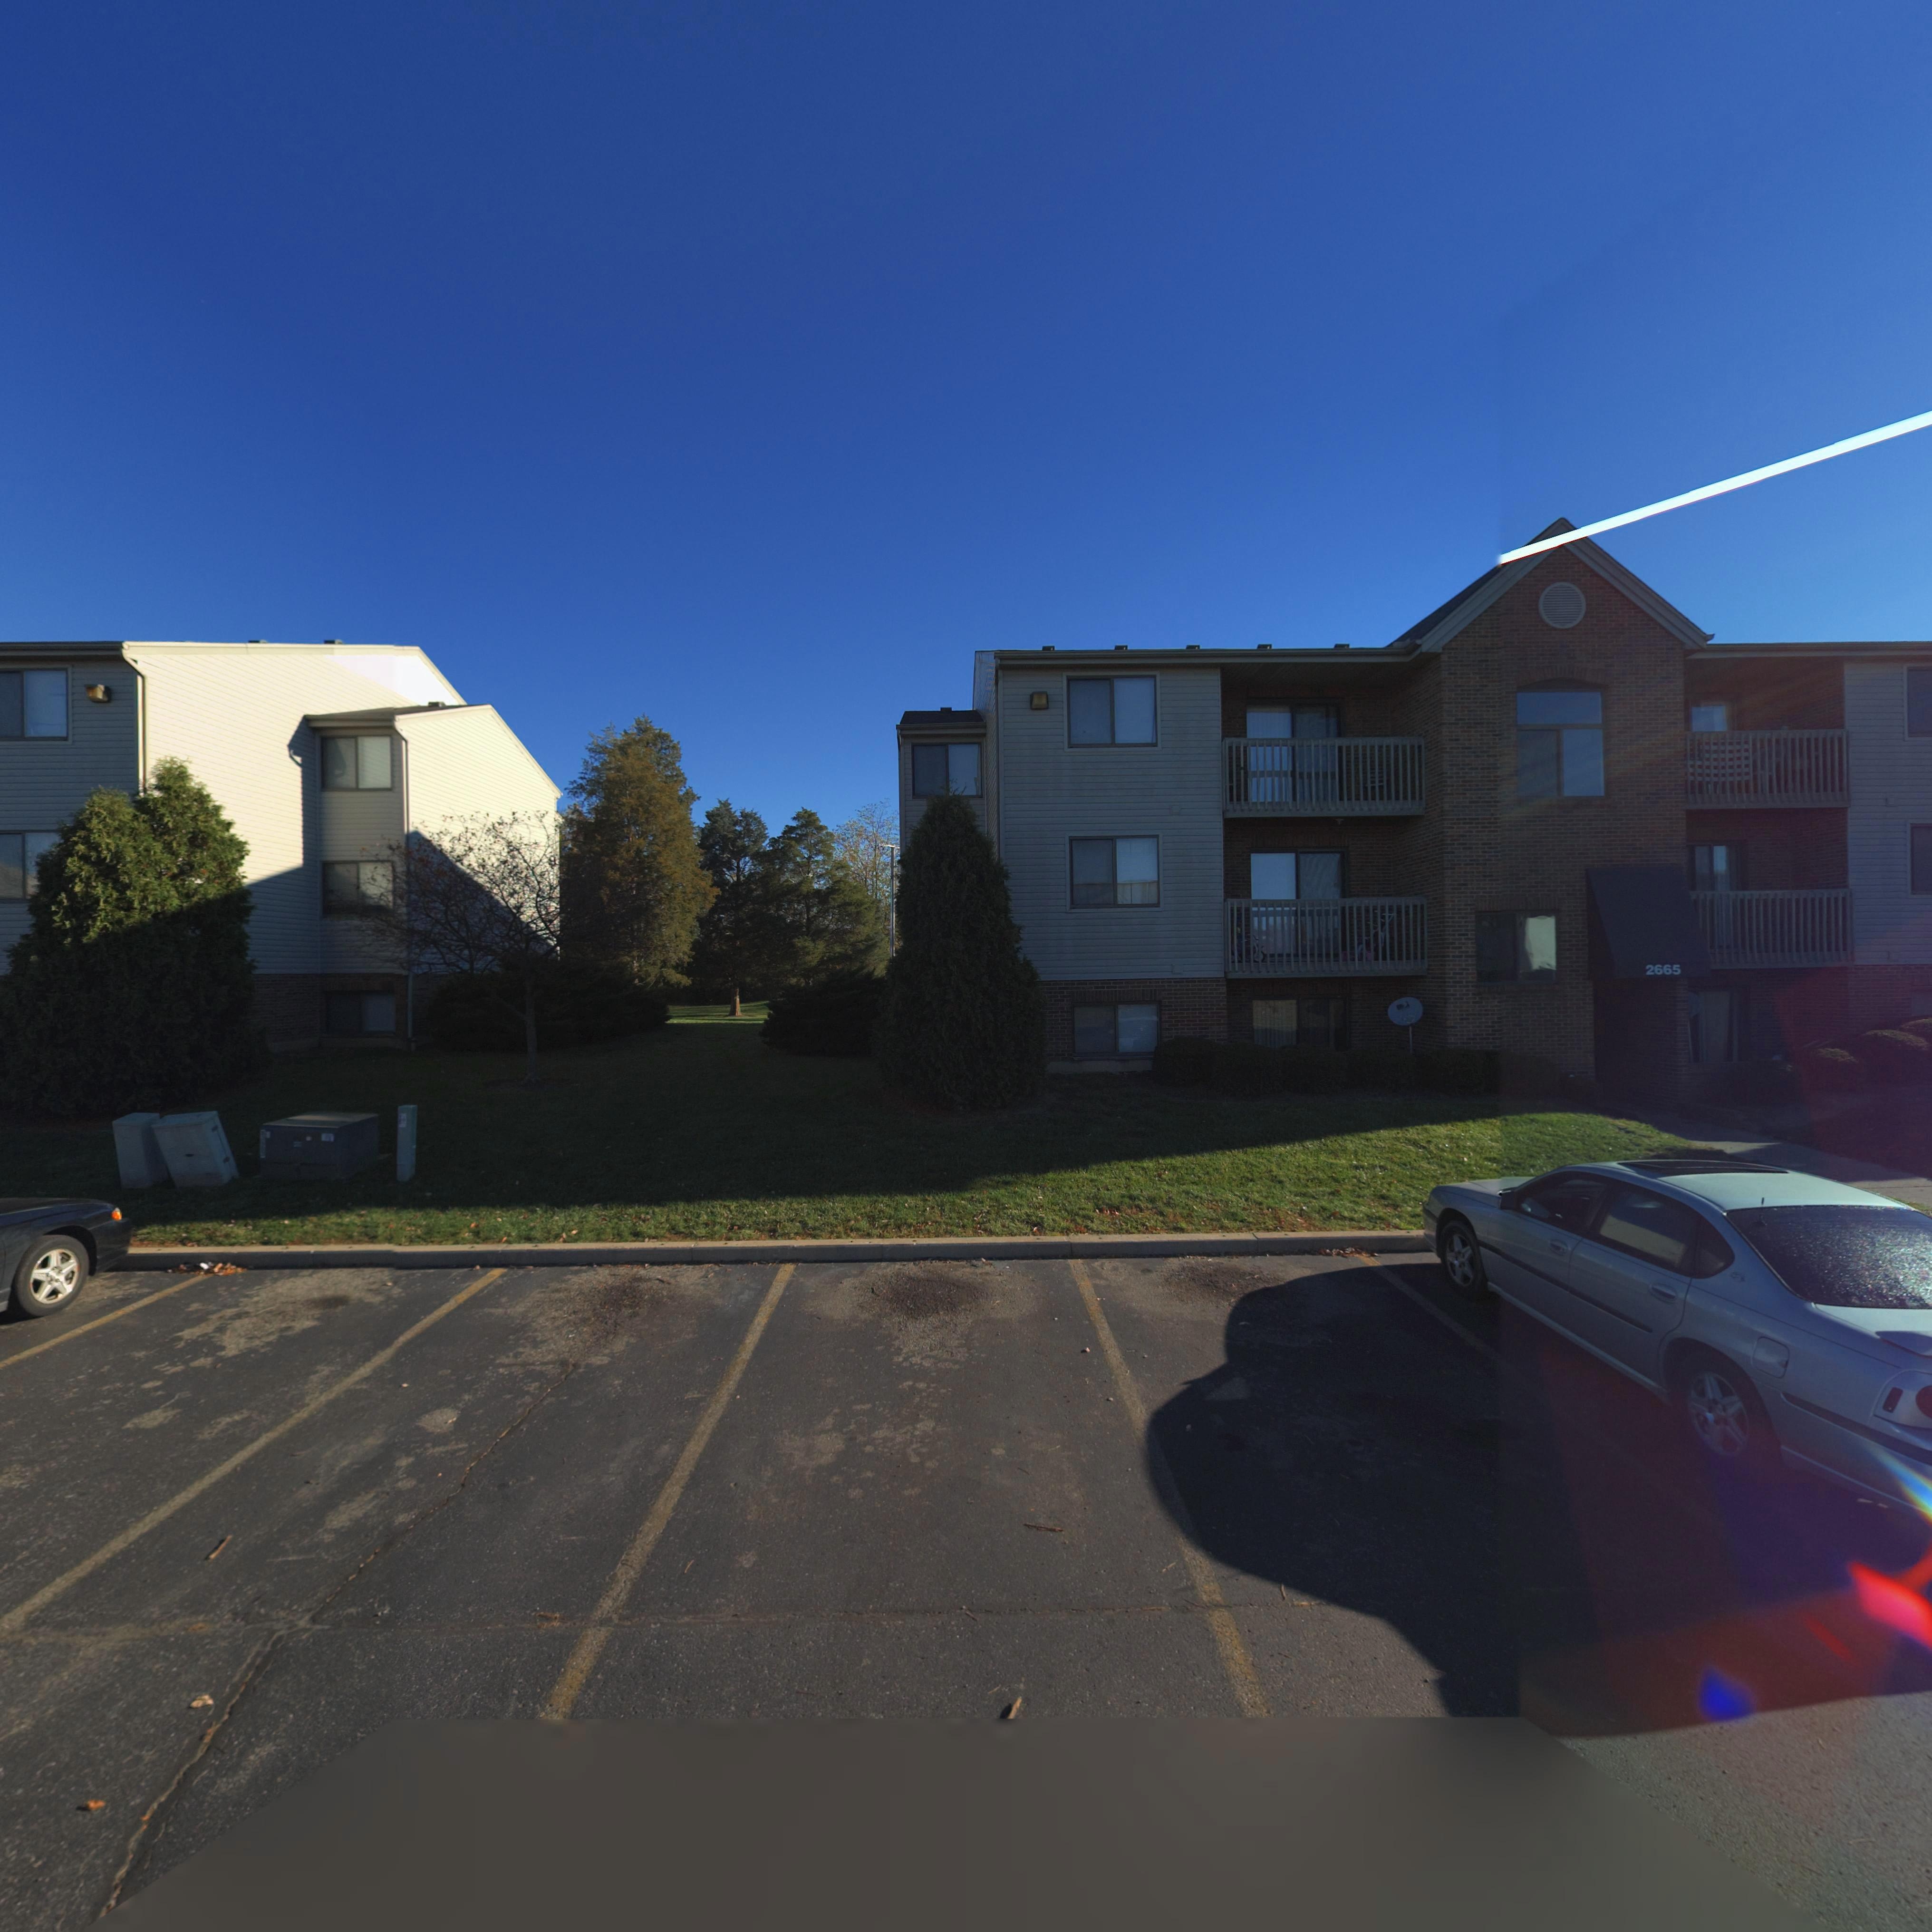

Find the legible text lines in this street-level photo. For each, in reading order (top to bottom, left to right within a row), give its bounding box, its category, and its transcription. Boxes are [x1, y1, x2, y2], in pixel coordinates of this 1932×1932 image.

[1644, 964, 1682, 976] StreetNumber: 2665